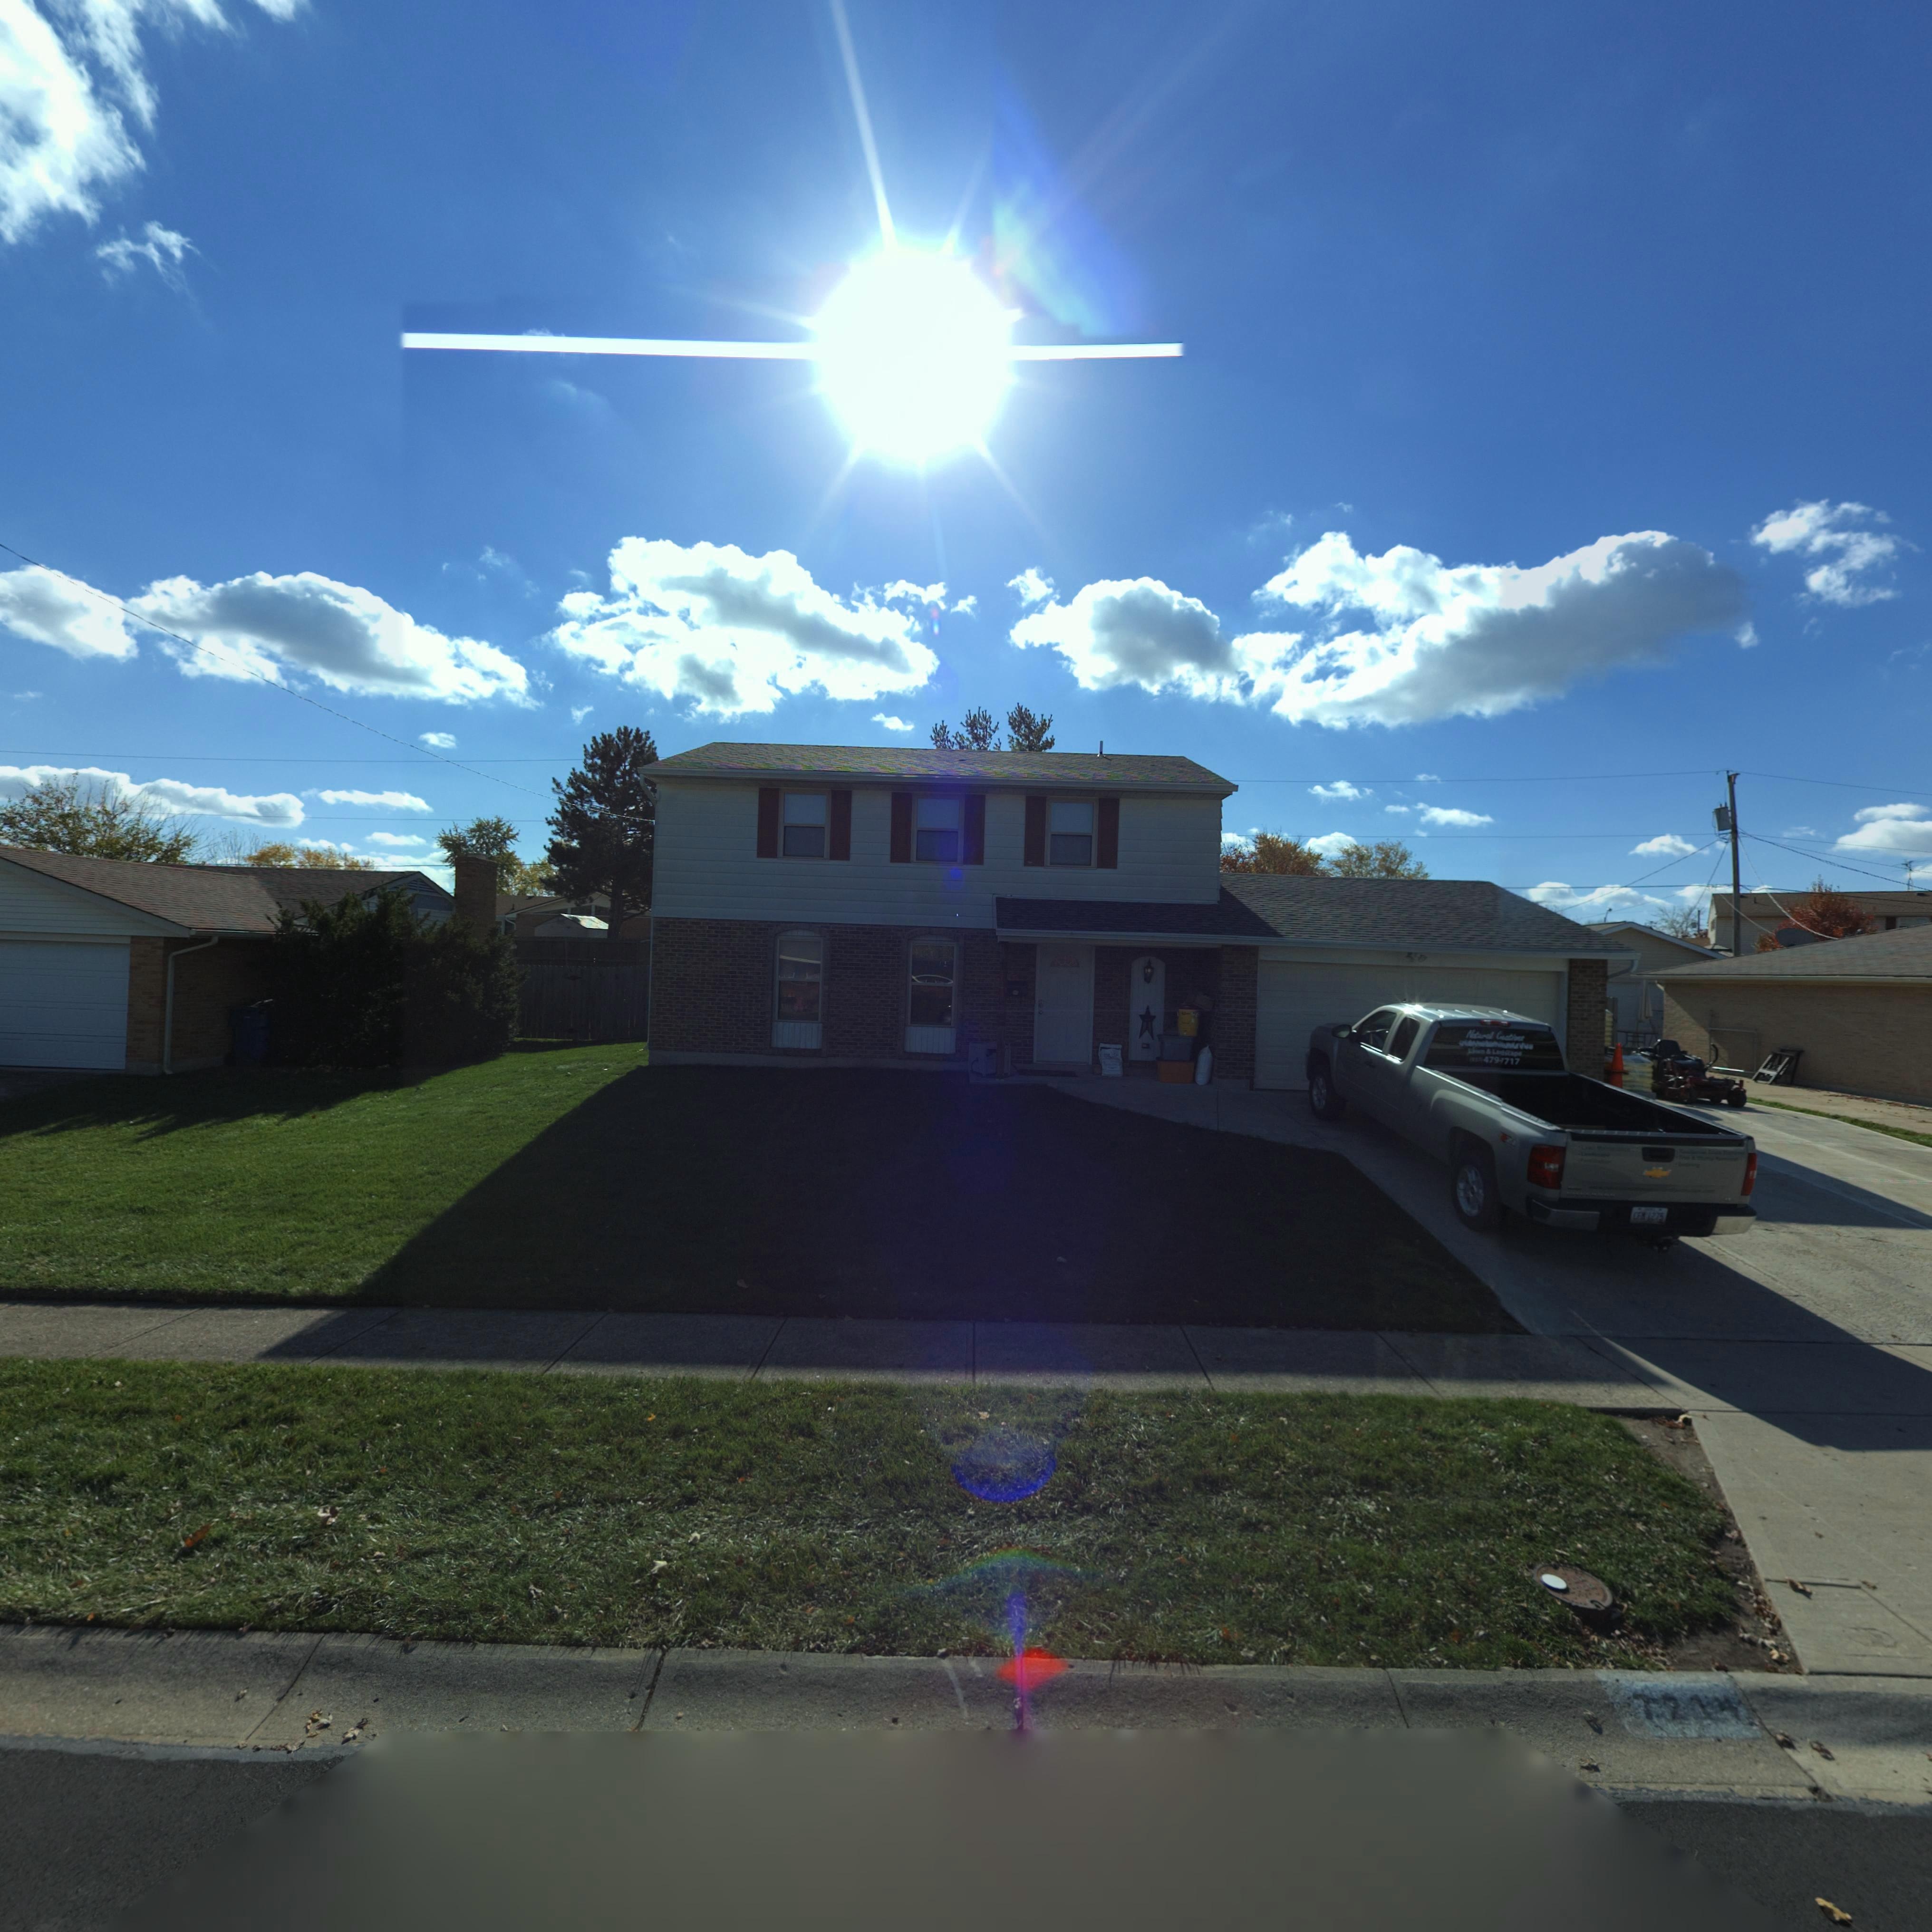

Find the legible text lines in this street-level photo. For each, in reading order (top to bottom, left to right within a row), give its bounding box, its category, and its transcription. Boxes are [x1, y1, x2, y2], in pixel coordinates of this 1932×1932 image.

[1482, 1055, 1521, 1066] None: \
[1624, 1690, 1746, 1724] StreetNumber: 7214